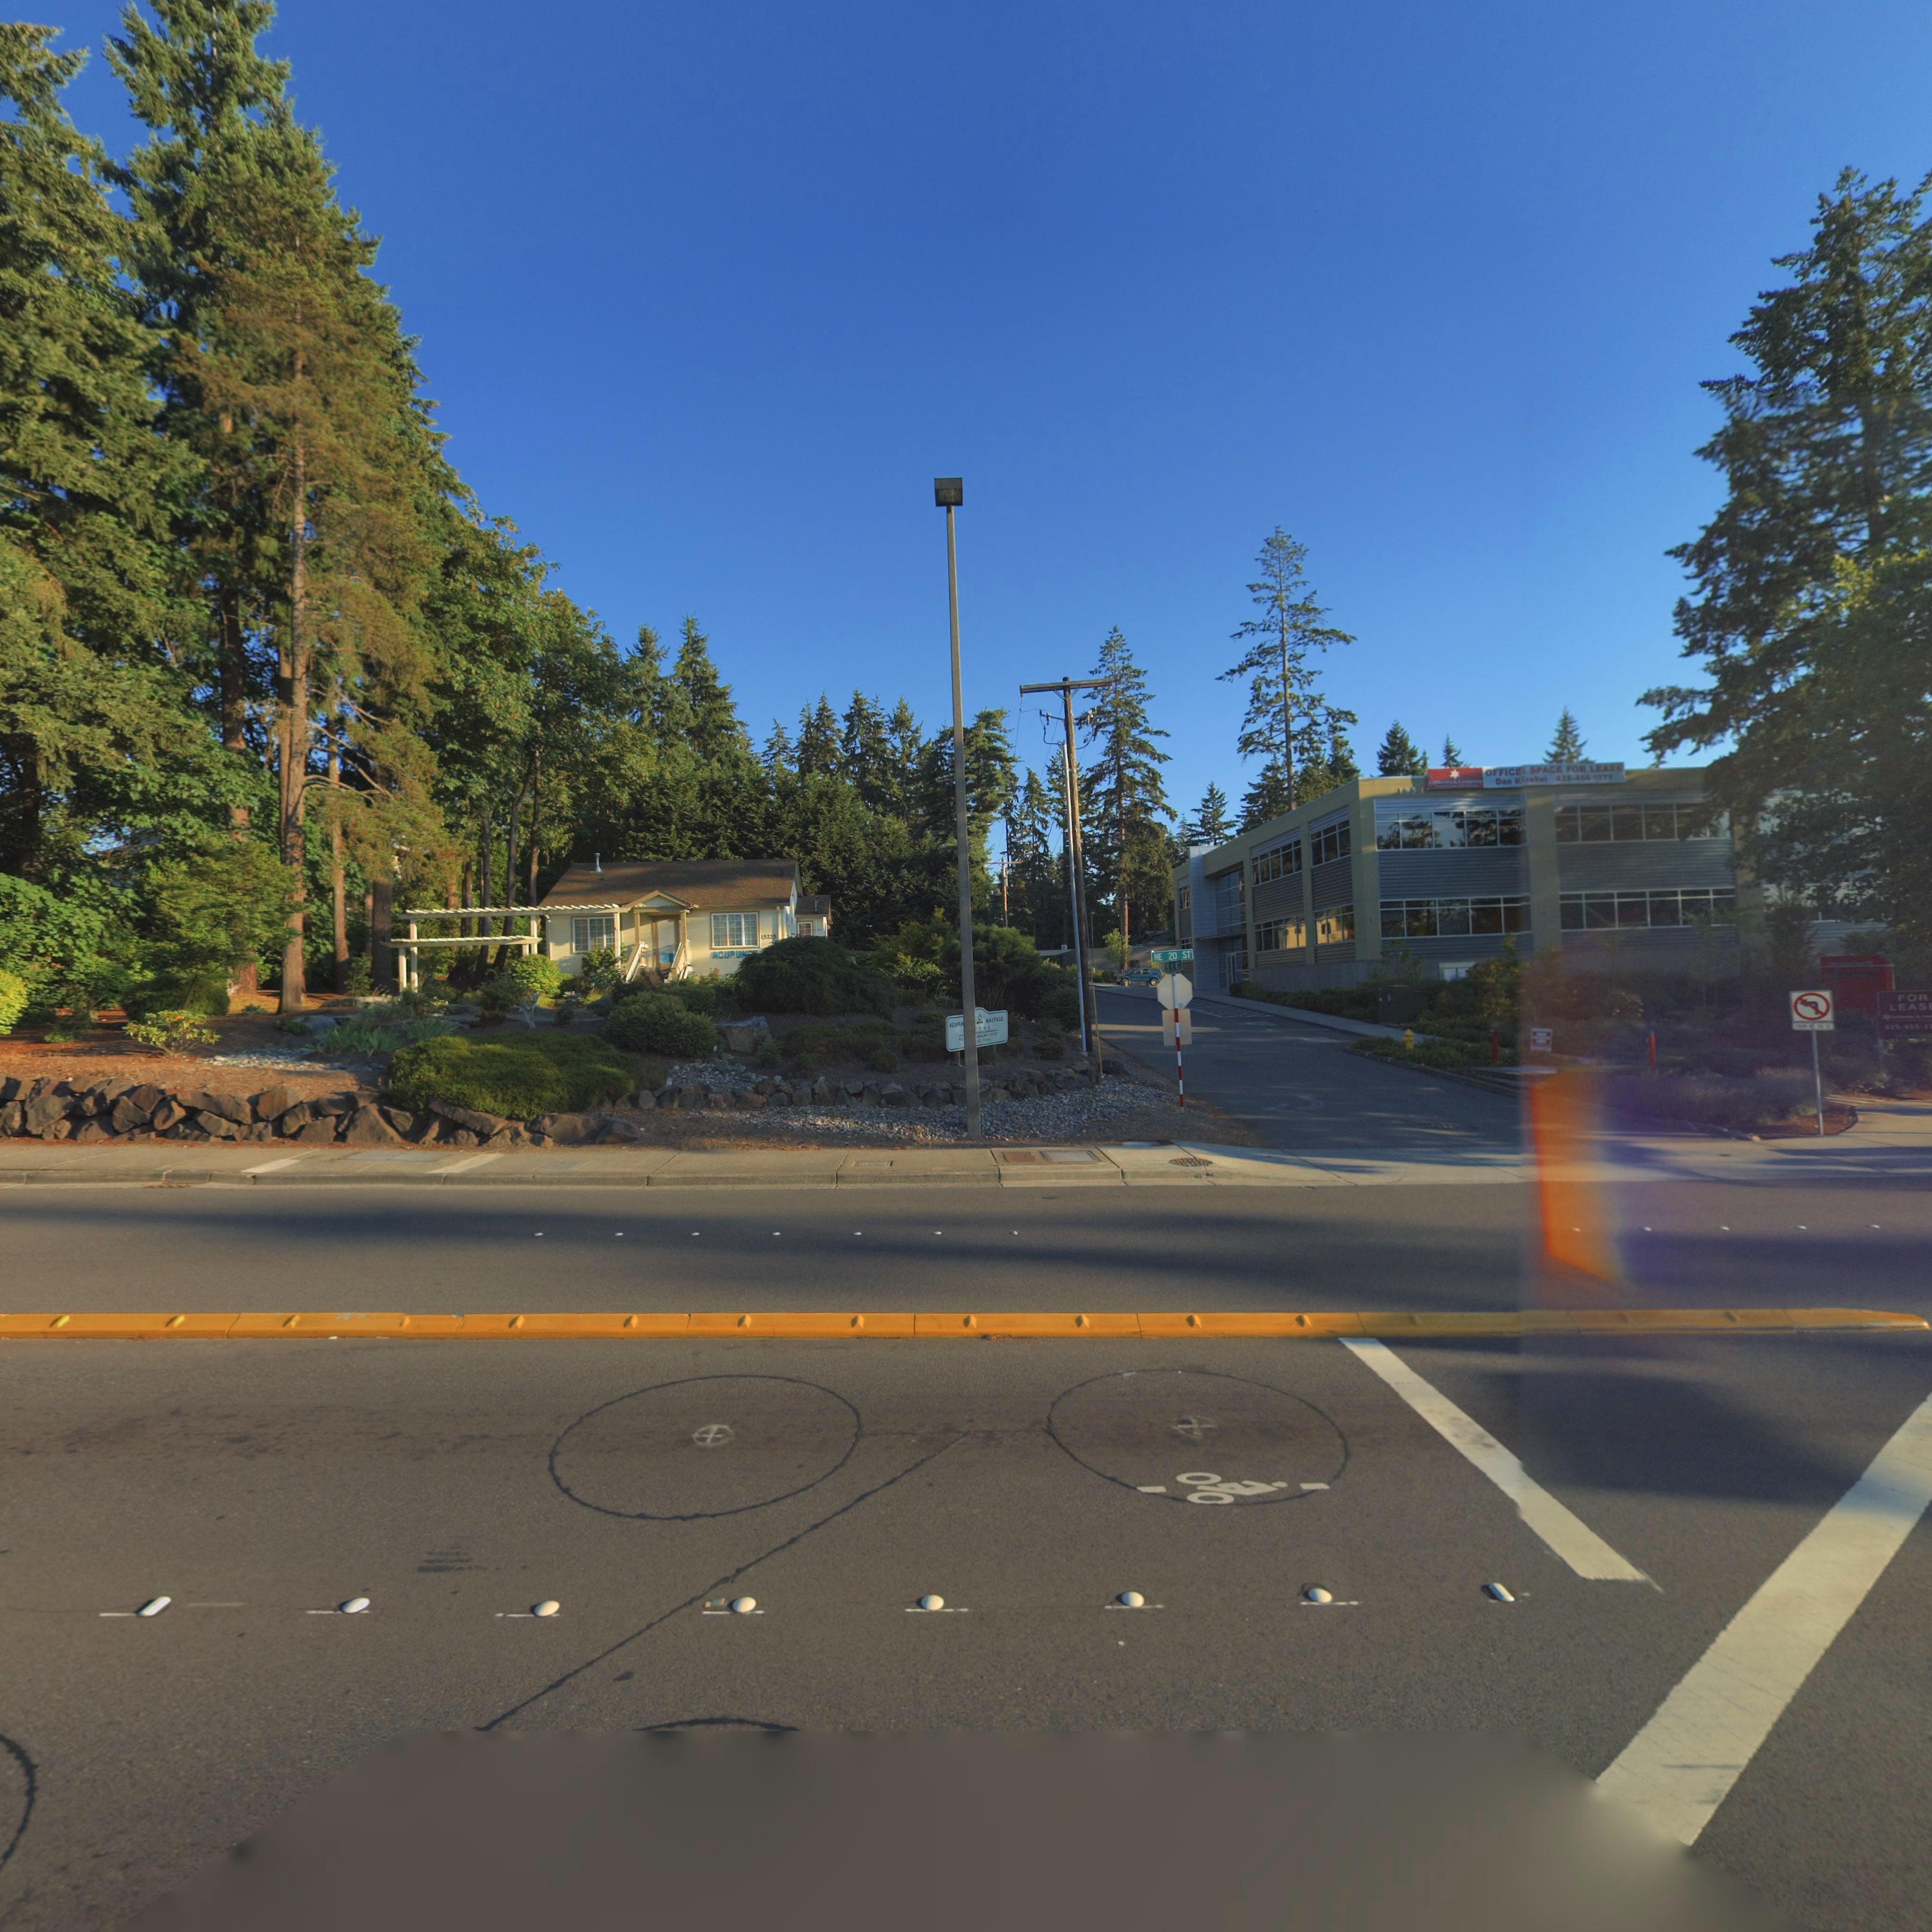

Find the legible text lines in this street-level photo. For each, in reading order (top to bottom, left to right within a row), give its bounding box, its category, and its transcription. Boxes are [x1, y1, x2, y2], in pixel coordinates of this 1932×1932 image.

[760, 933, 778, 940] StreetNumber: 15225
[712, 950, 748, 958] BusinessName: ACUPUN**
[1153, 950, 1191, 961] StreetName: NE 20 ST
[985, 1015, 1004, 1024] BusinessName: MASSAGE
[948, 1020, 965, 1029] BusinessName: ACUPUN*